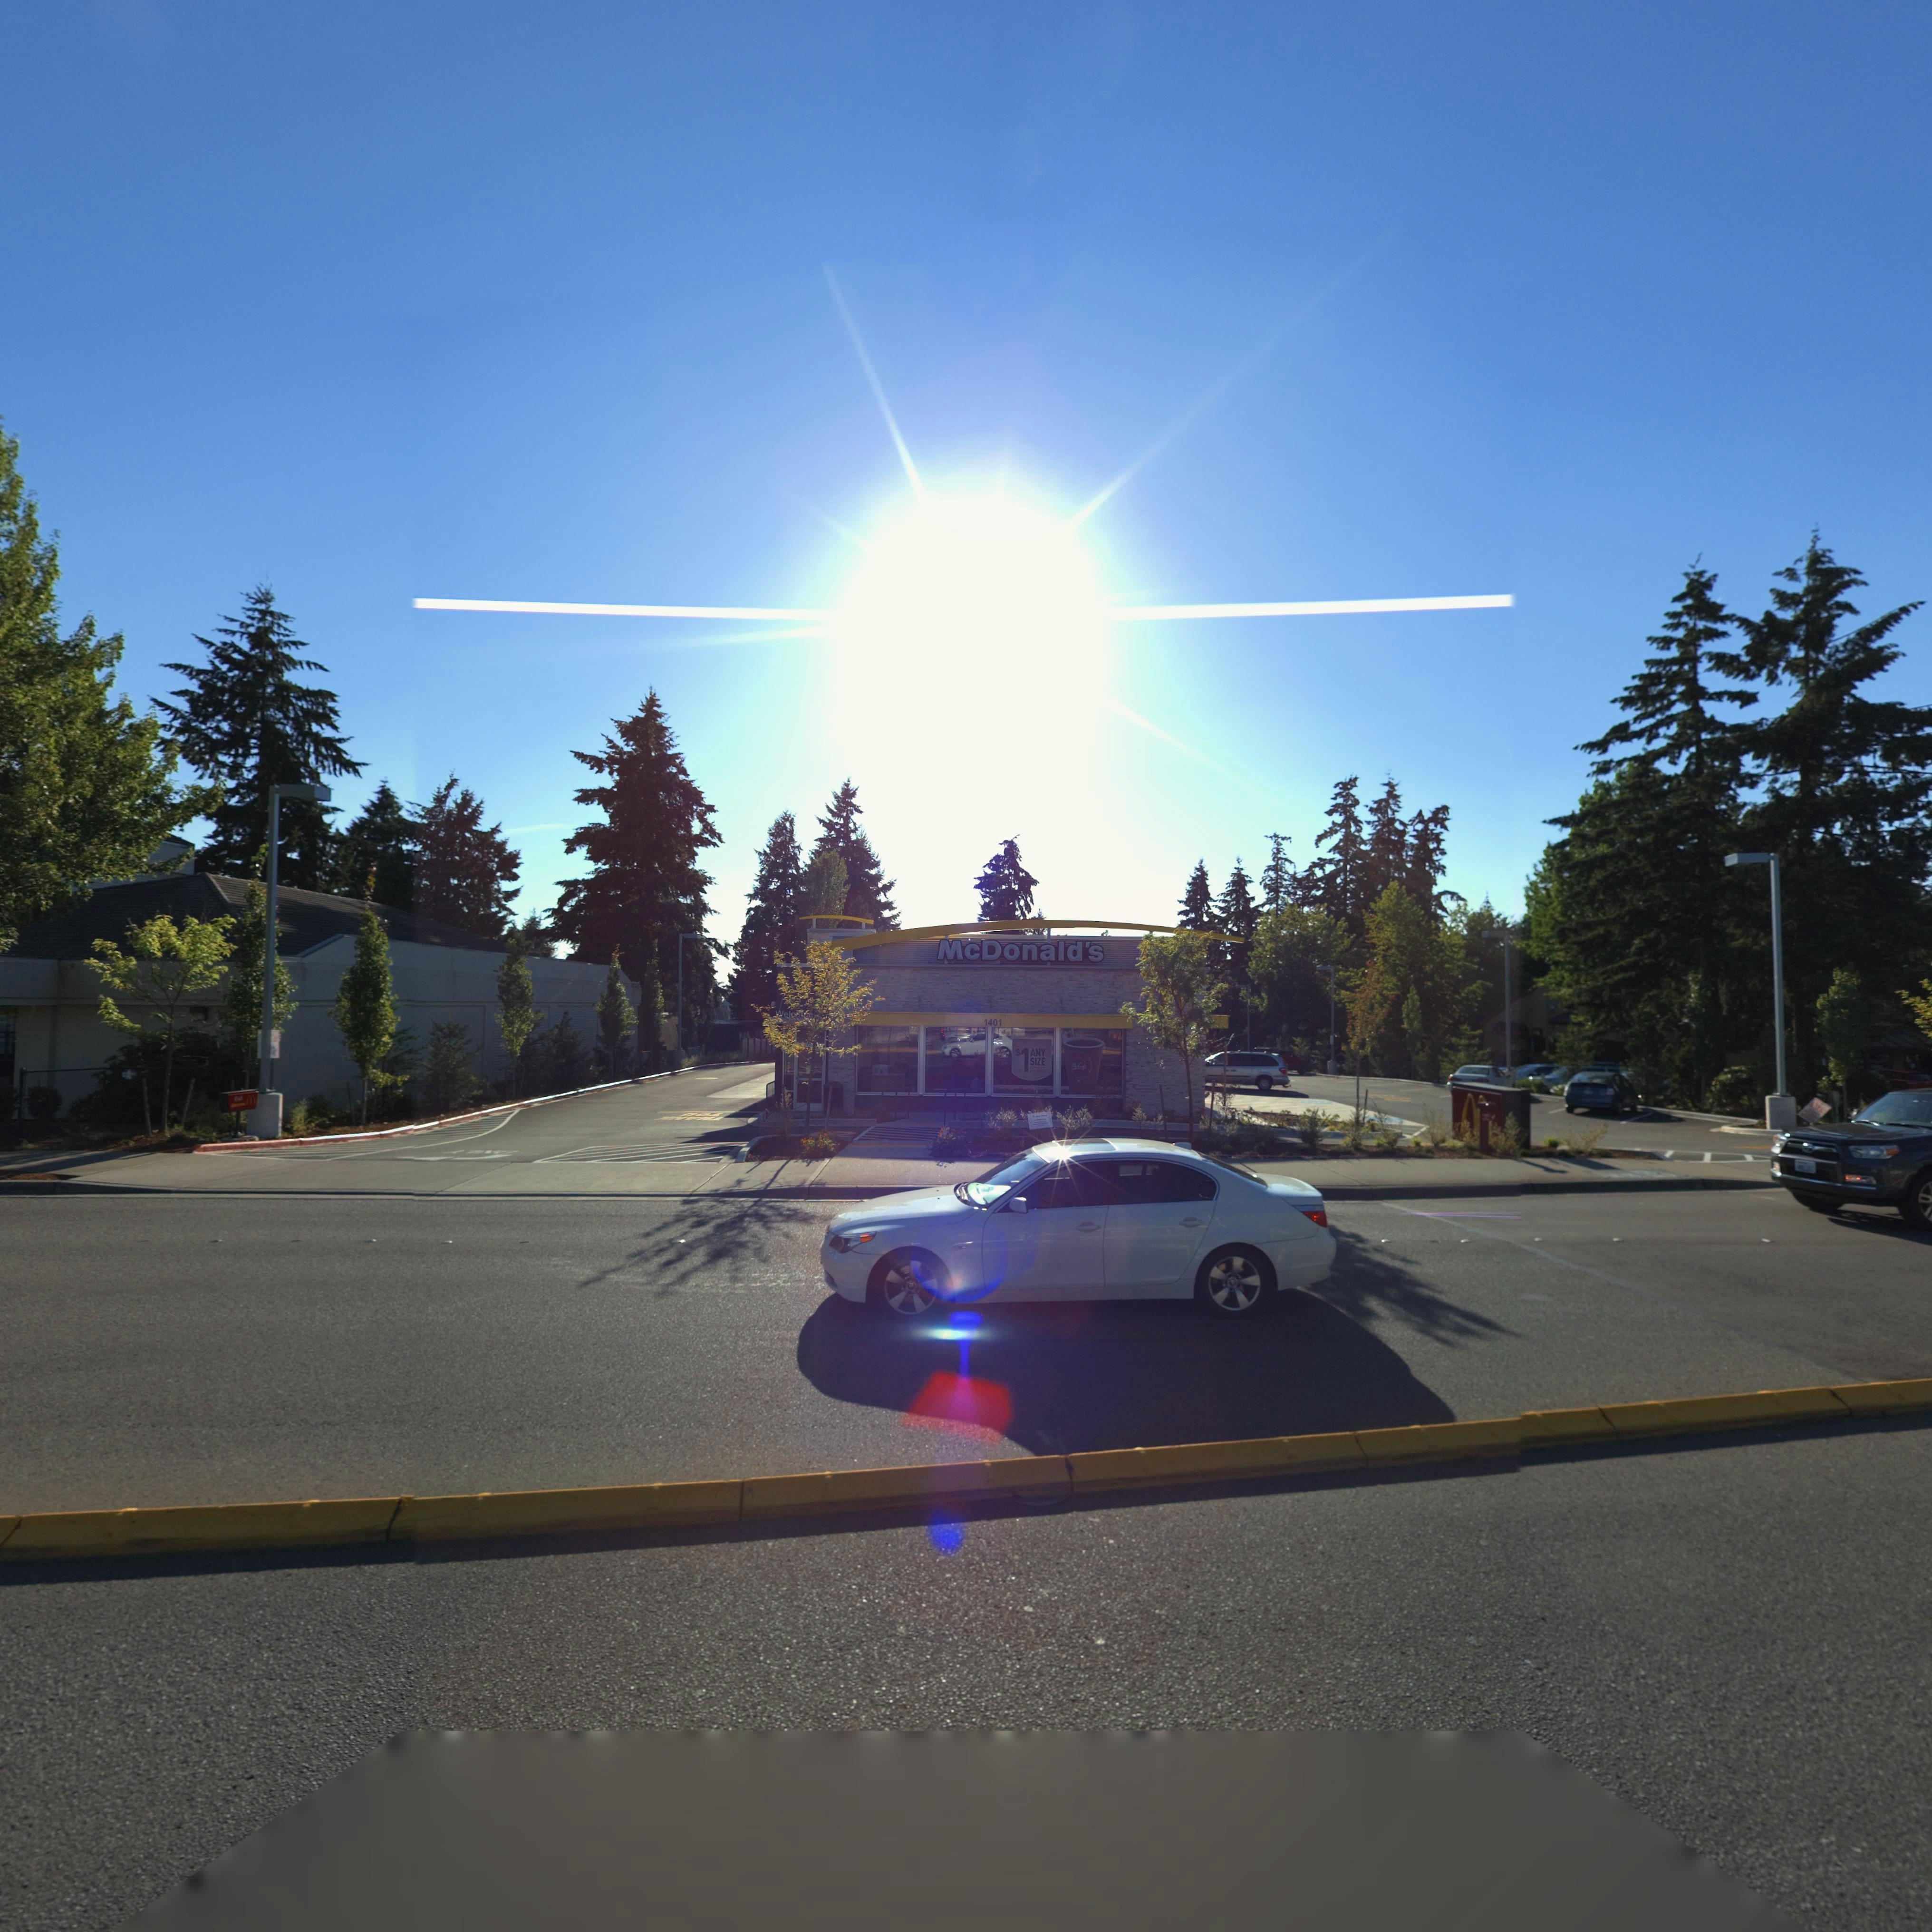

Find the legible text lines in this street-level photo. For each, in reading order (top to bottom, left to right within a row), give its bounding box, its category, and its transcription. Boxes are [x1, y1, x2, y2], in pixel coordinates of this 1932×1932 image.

[937, 940, 1102, 961] BusinessName: McDonald s
[984, 1019, 1002, 1026] StreetNumber: 1401